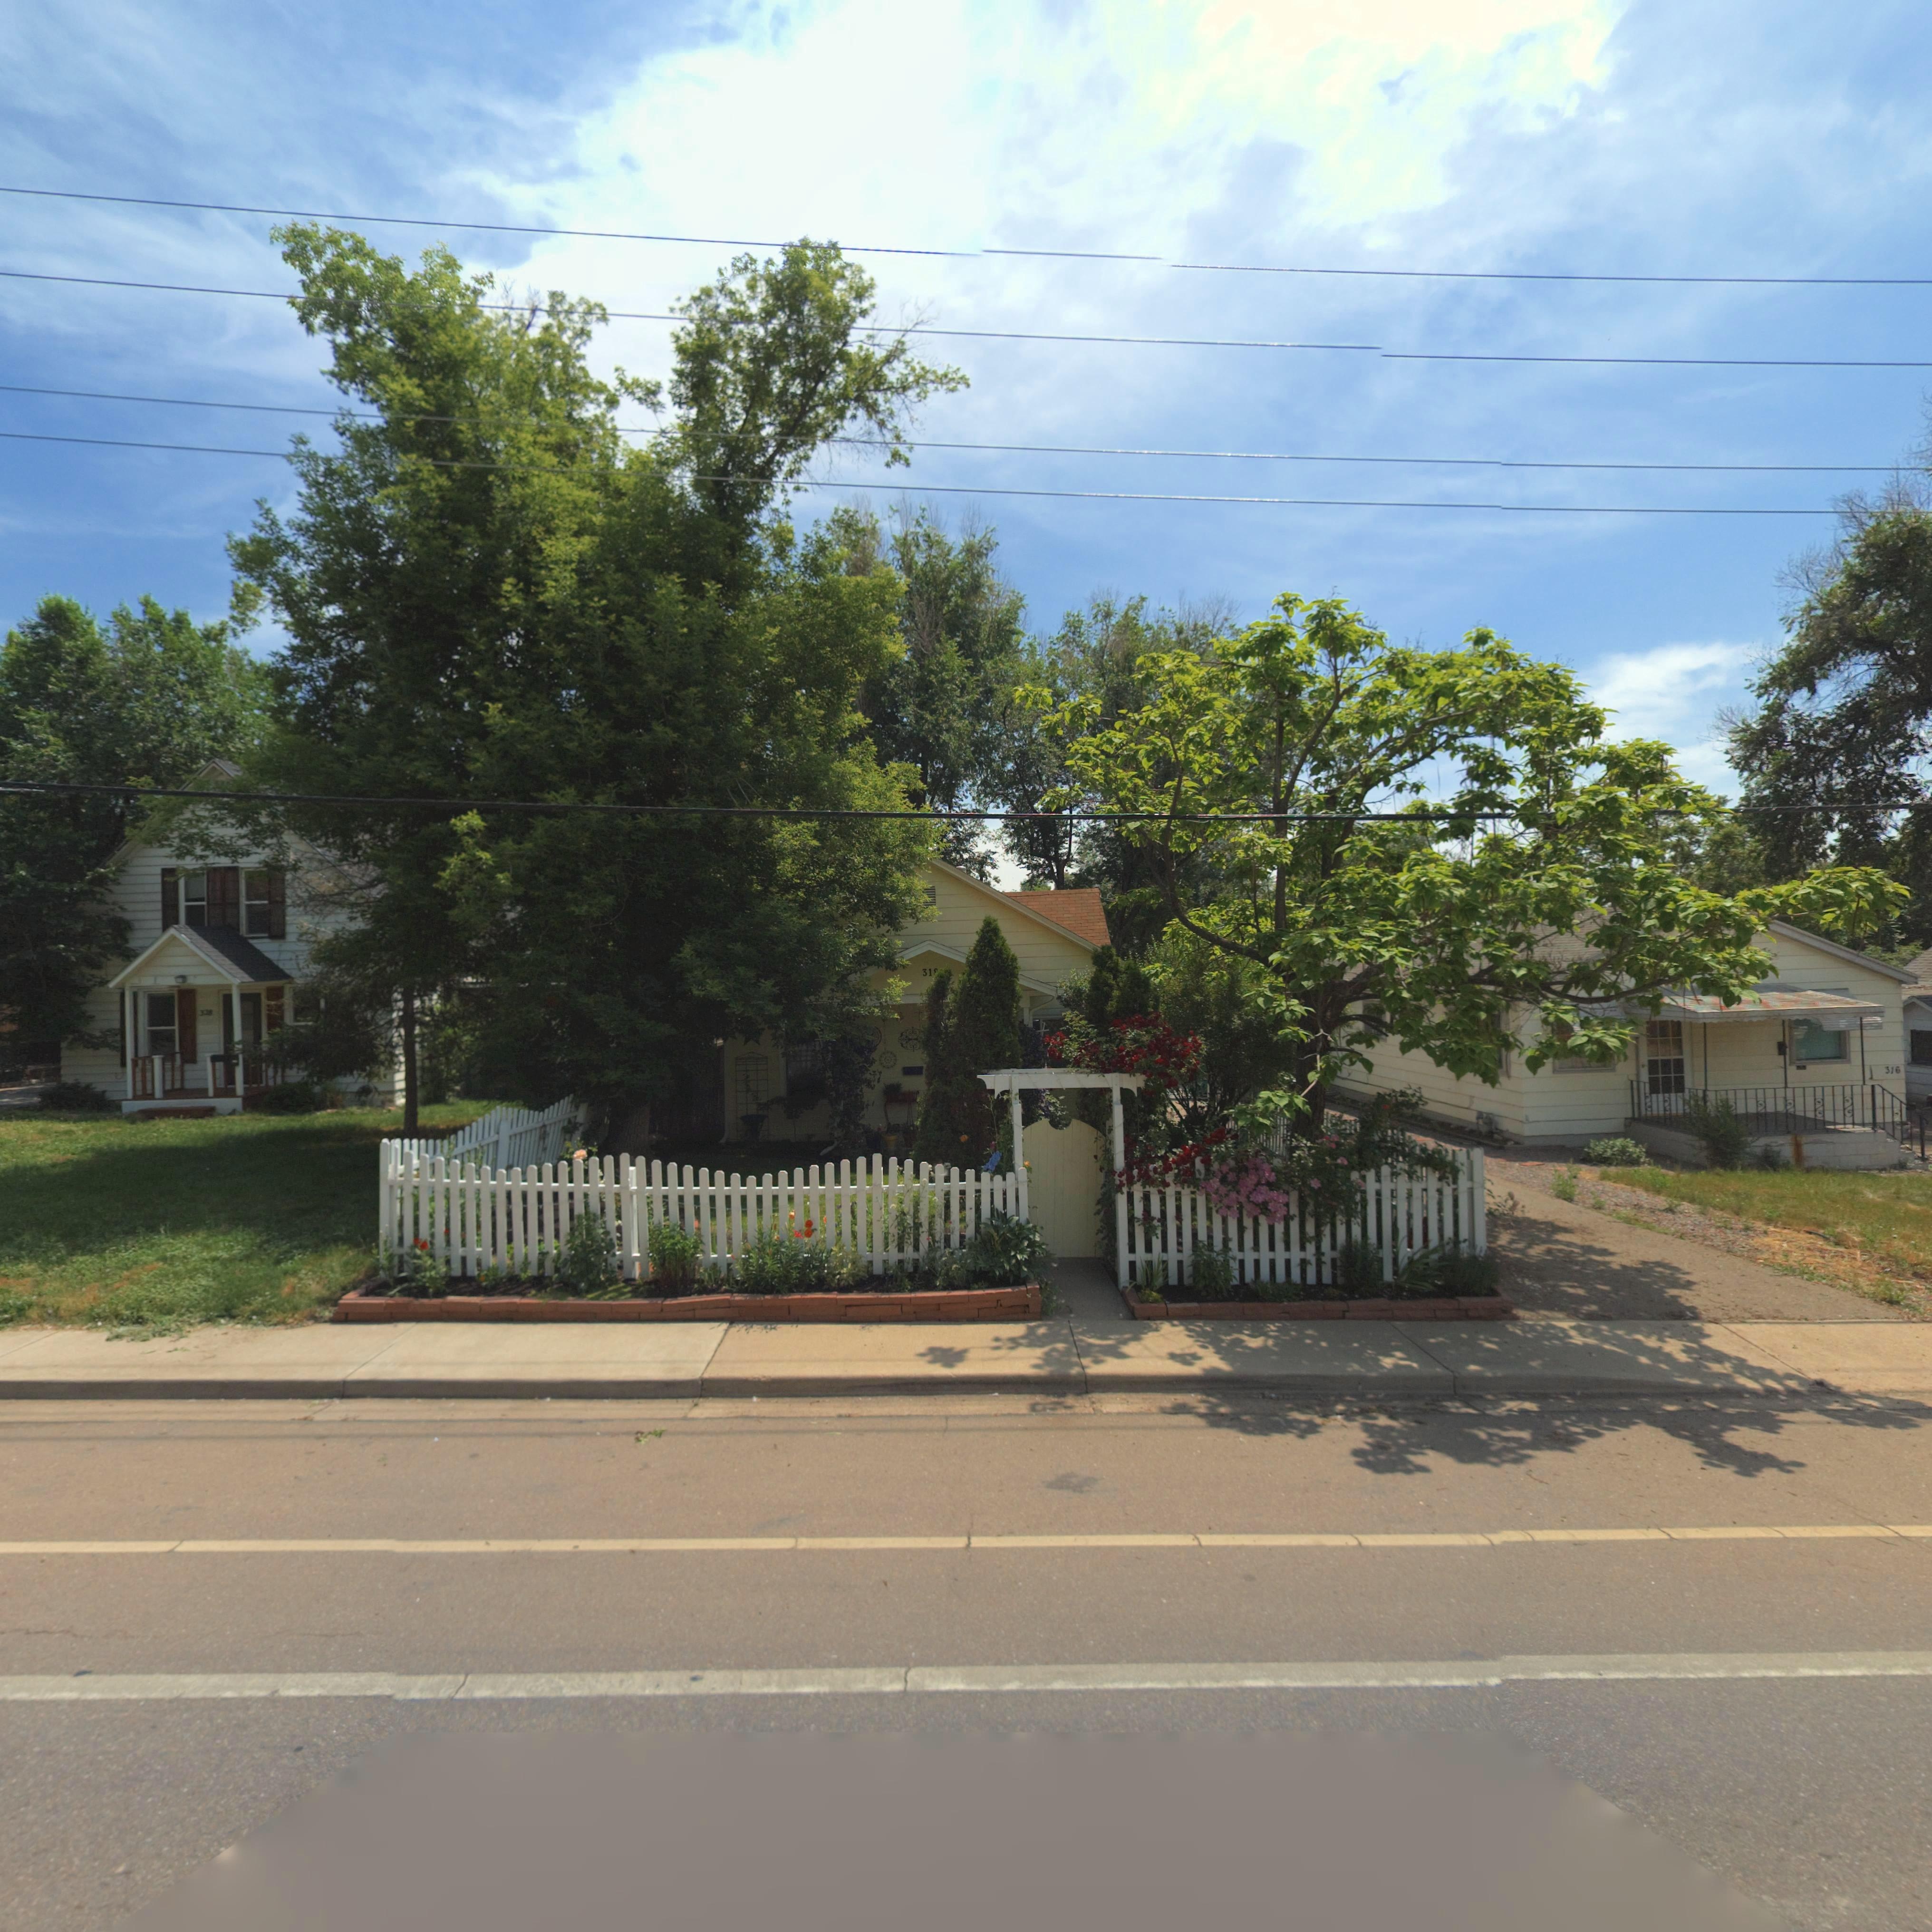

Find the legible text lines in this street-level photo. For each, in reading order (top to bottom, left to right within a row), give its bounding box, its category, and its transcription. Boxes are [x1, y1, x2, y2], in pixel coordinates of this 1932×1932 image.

[922, 968, 938, 976] StreetNumber: 31*
[199, 1009, 213, 1016] StreetNumber: 328
[1884, 1066, 1900, 1074] StreetNumber: 316